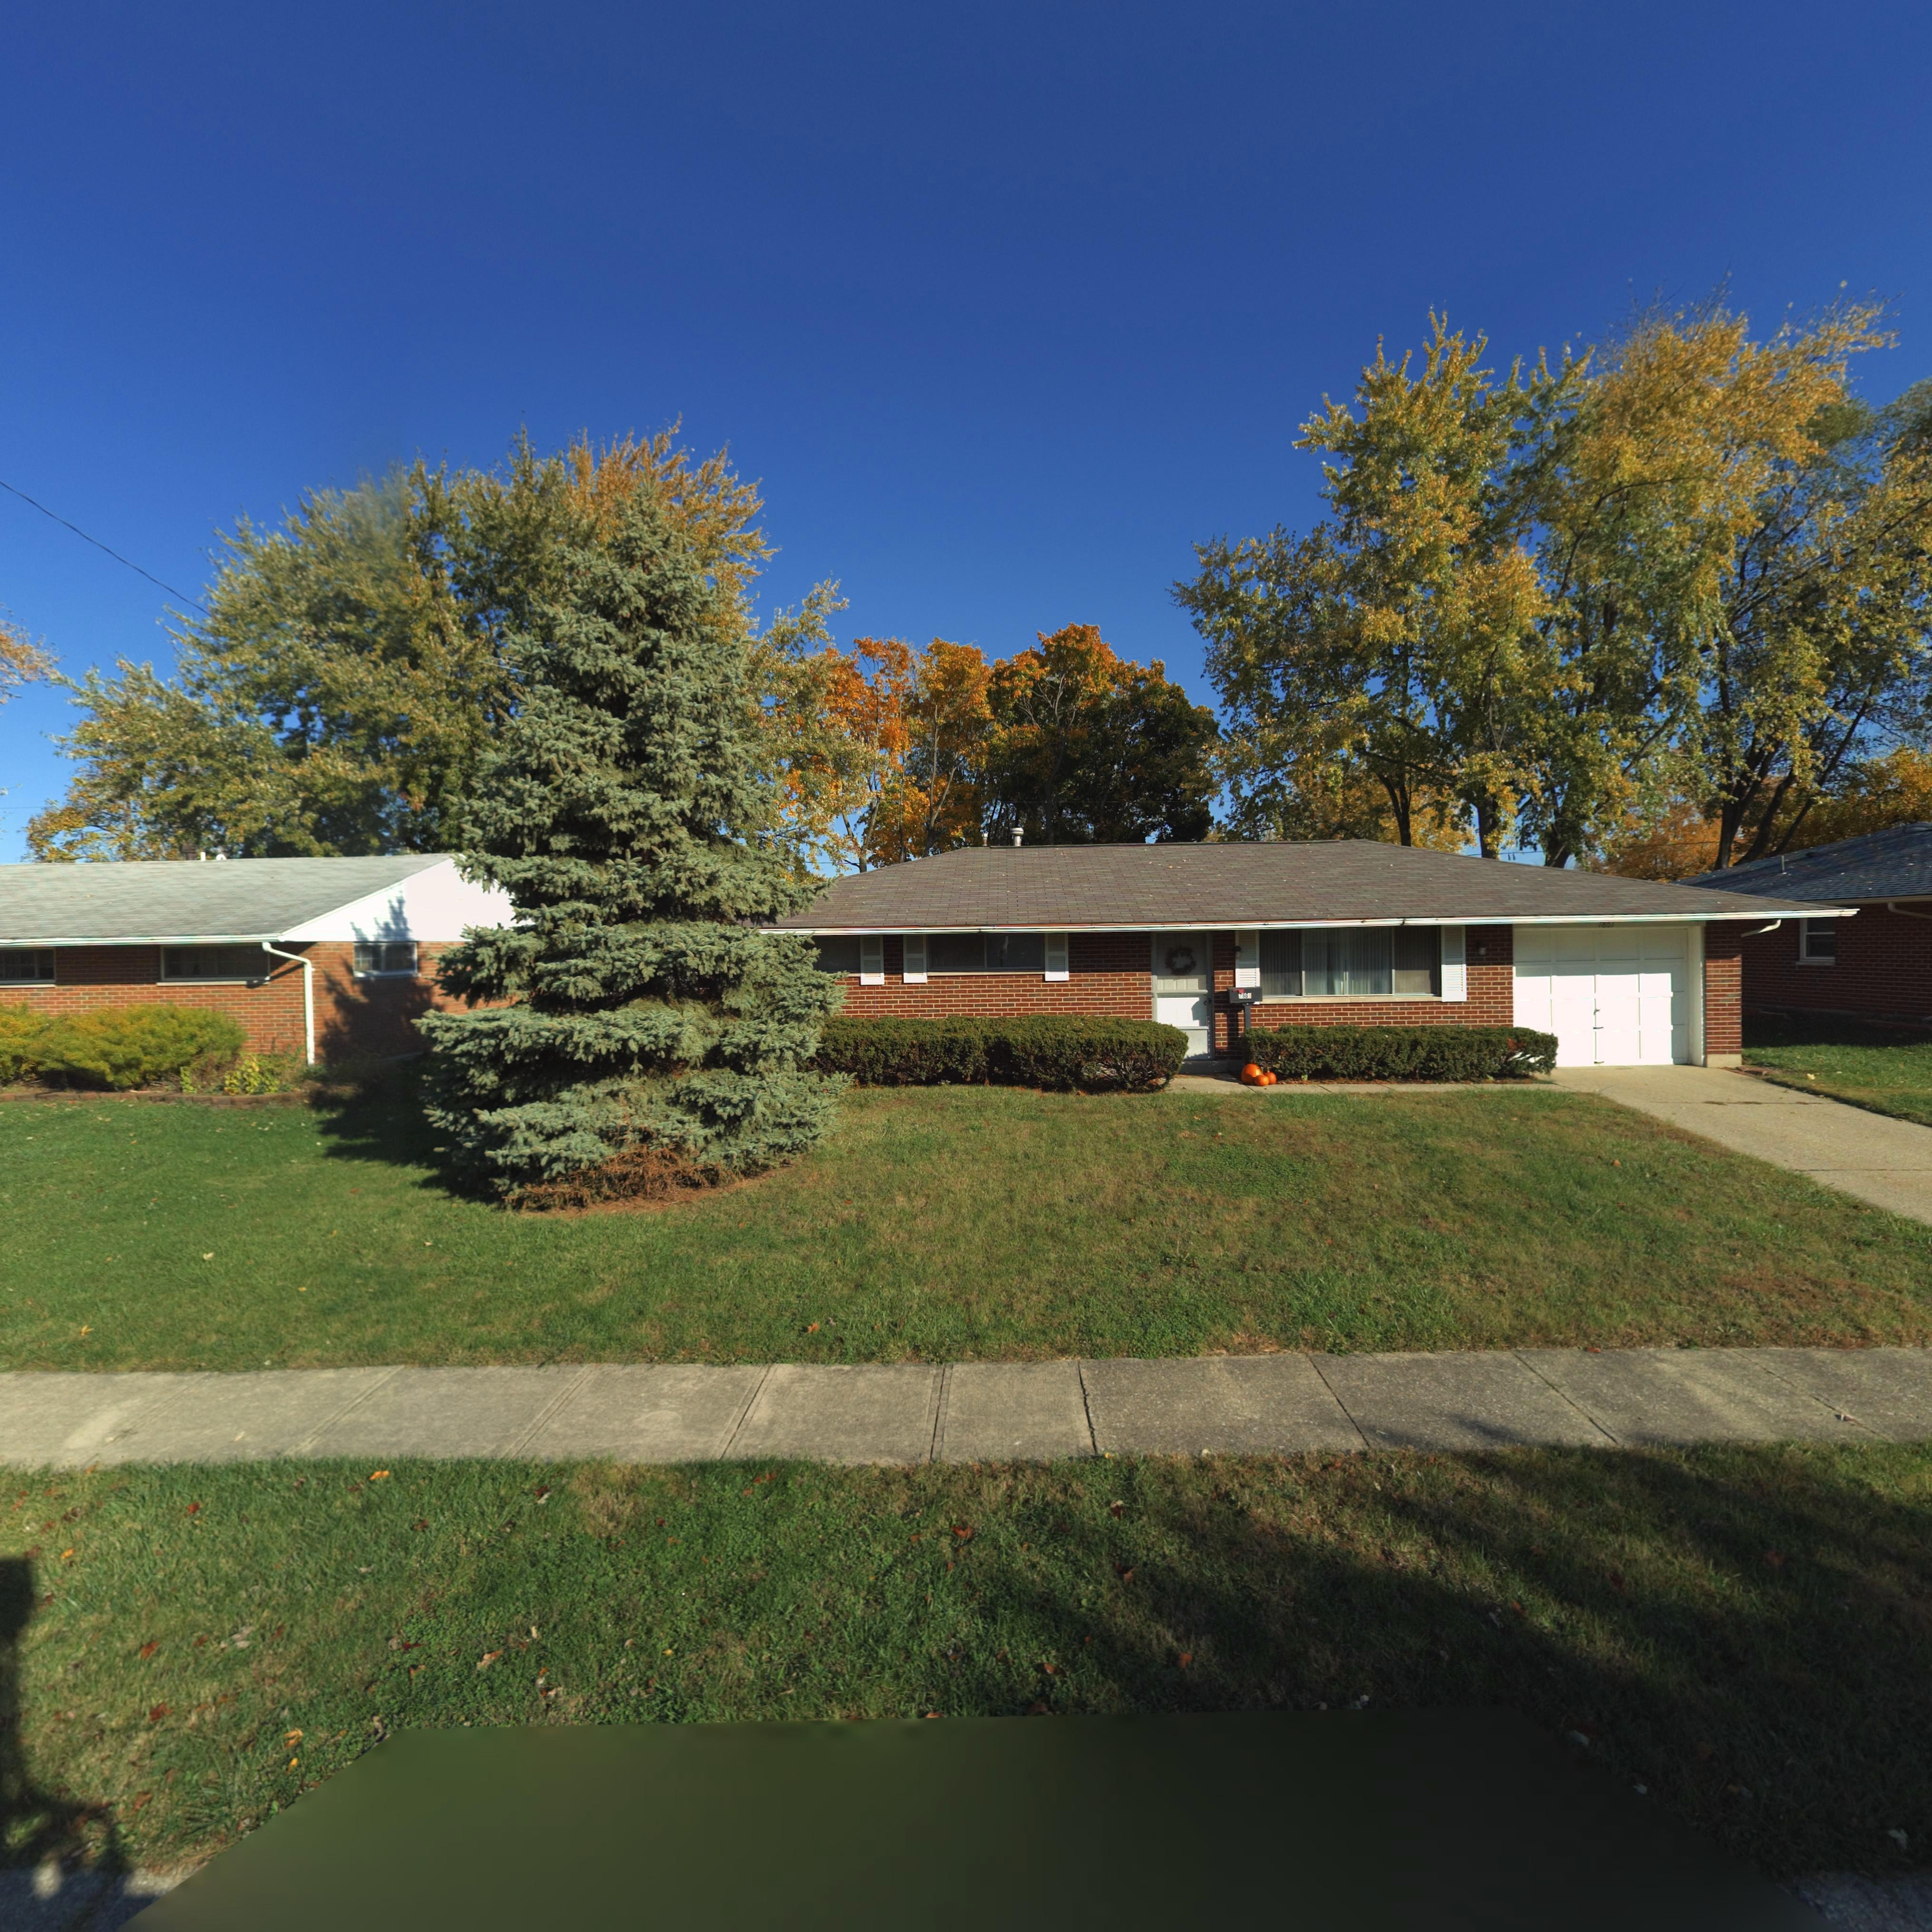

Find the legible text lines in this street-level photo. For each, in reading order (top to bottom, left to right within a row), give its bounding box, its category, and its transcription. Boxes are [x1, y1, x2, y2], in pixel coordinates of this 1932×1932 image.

[1597, 921, 1616, 928] StreetNumber: 7861
[1239, 993, 1251, 998] StreetNumber: 7861